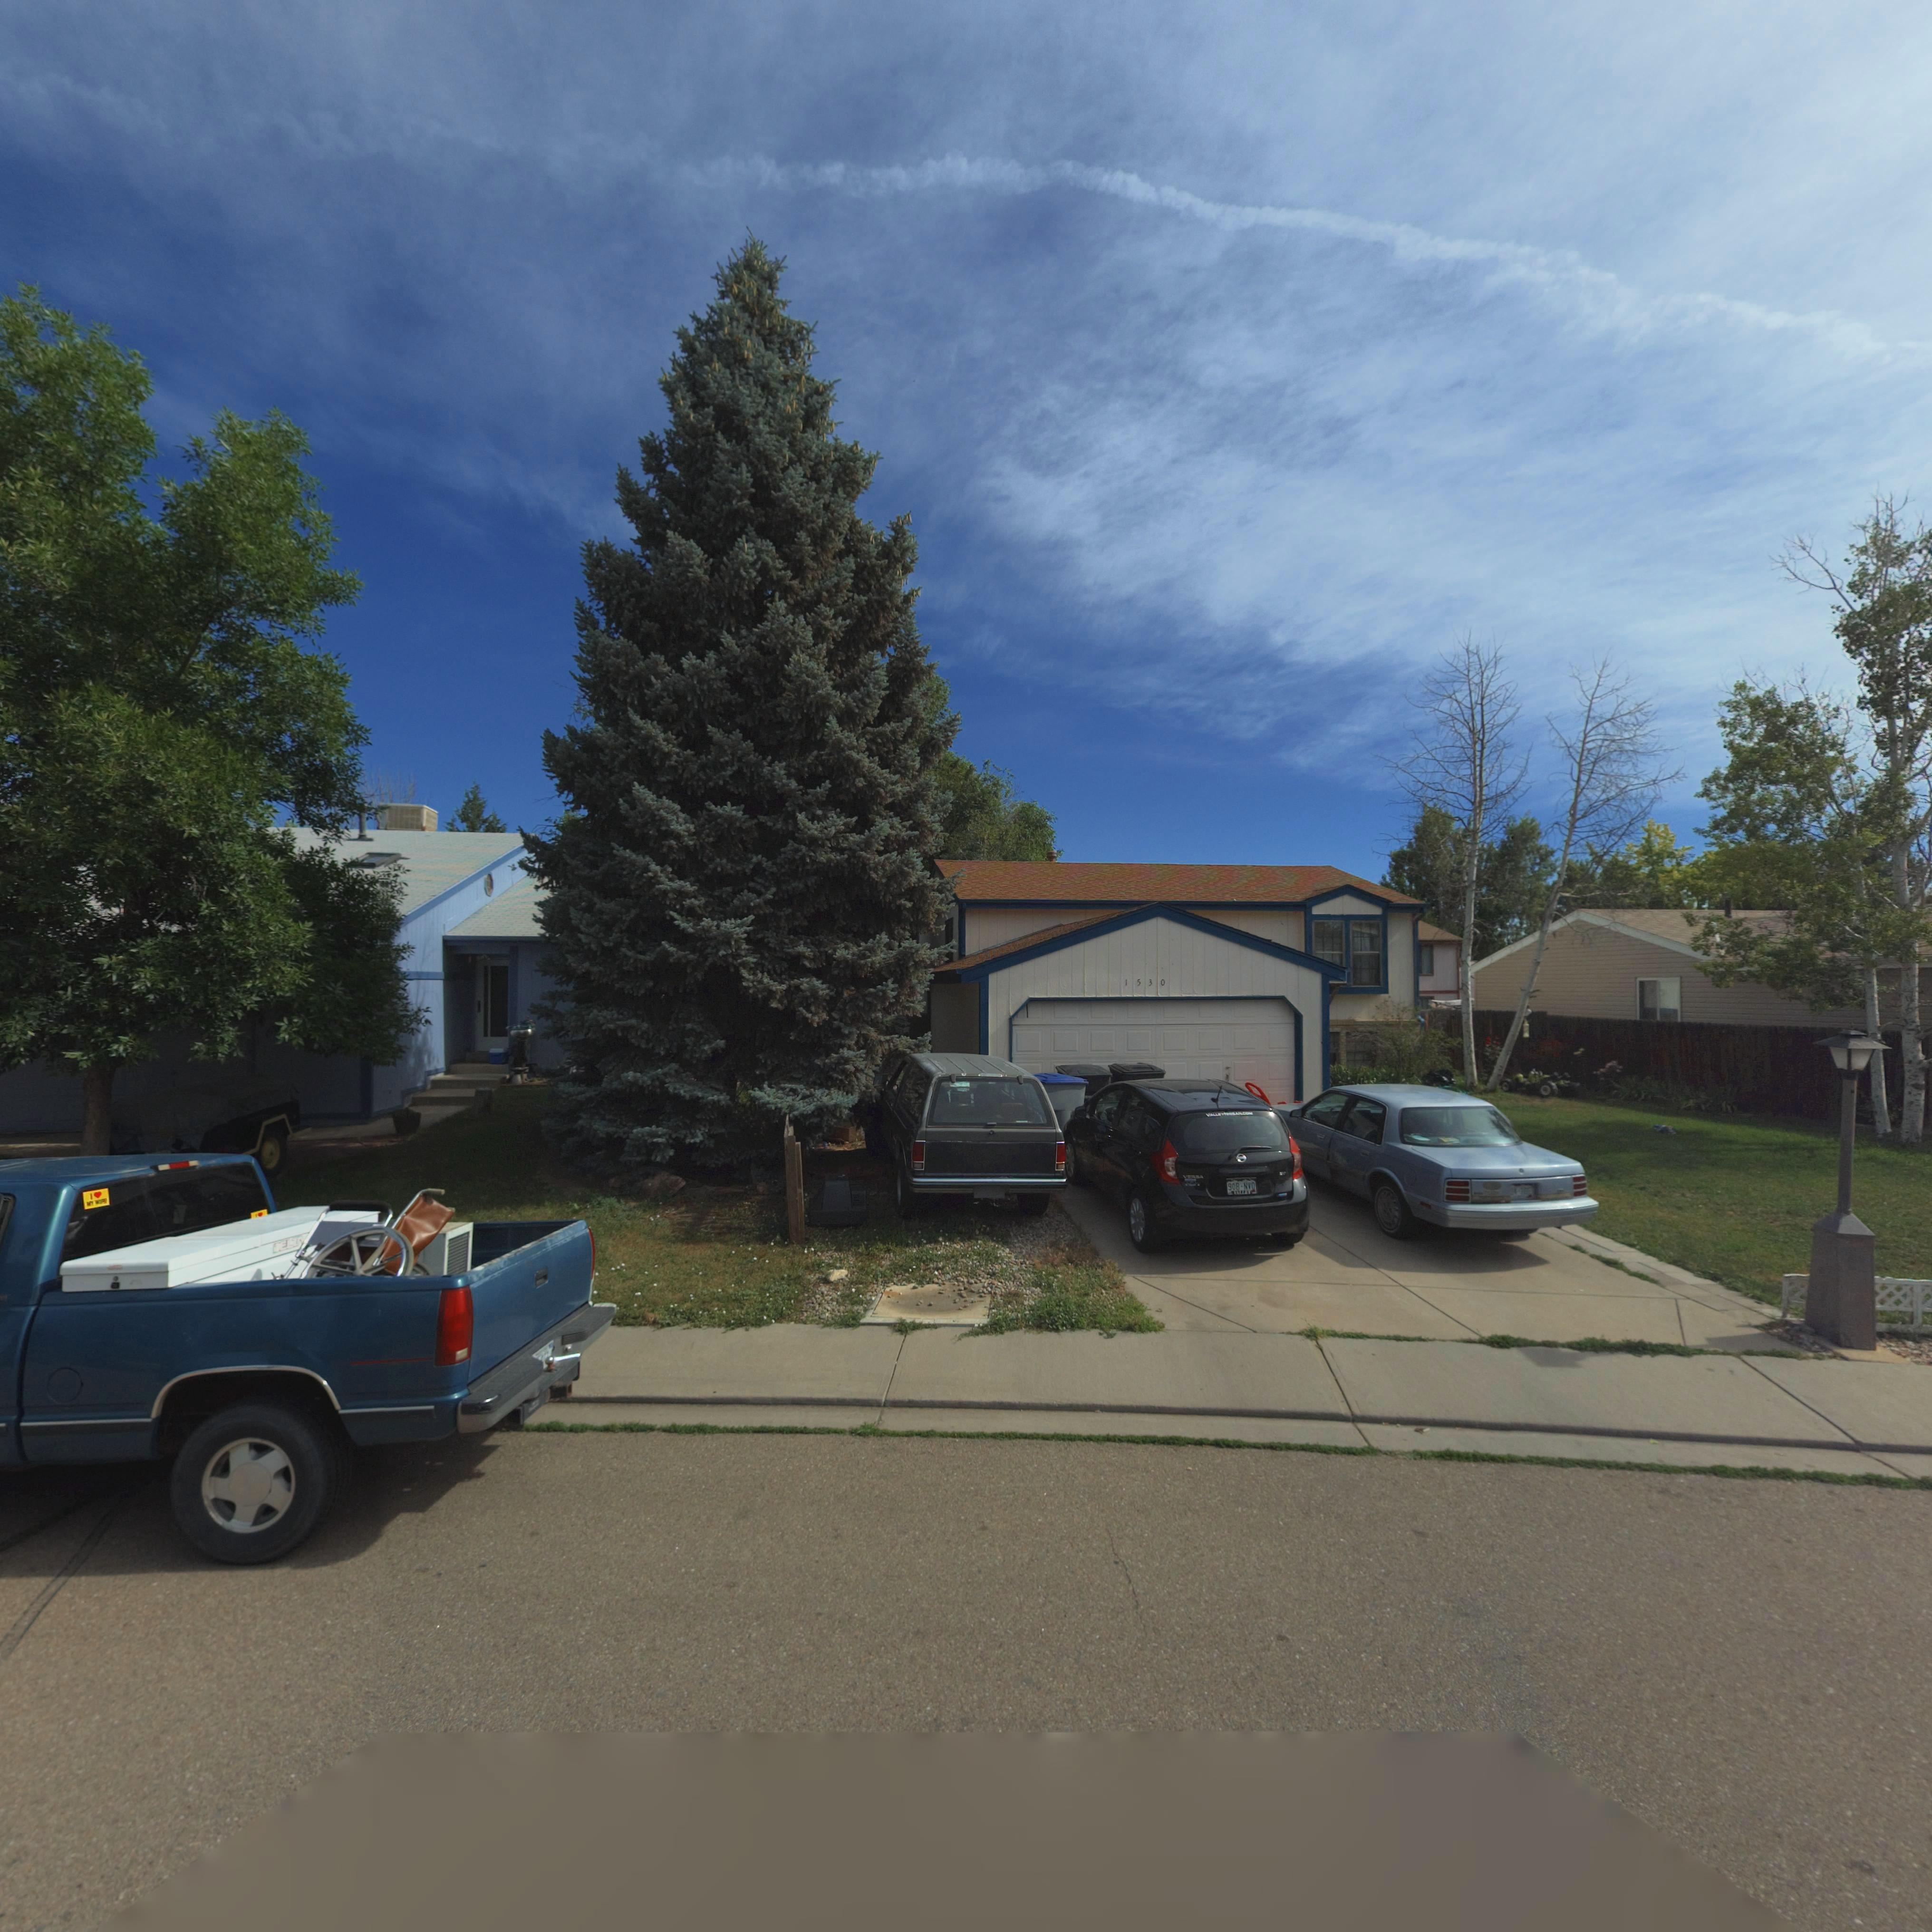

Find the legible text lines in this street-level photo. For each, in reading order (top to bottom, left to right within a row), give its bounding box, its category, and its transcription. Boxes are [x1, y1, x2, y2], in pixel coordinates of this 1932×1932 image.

[1125, 978, 1165, 986] StreetNumber: 1530